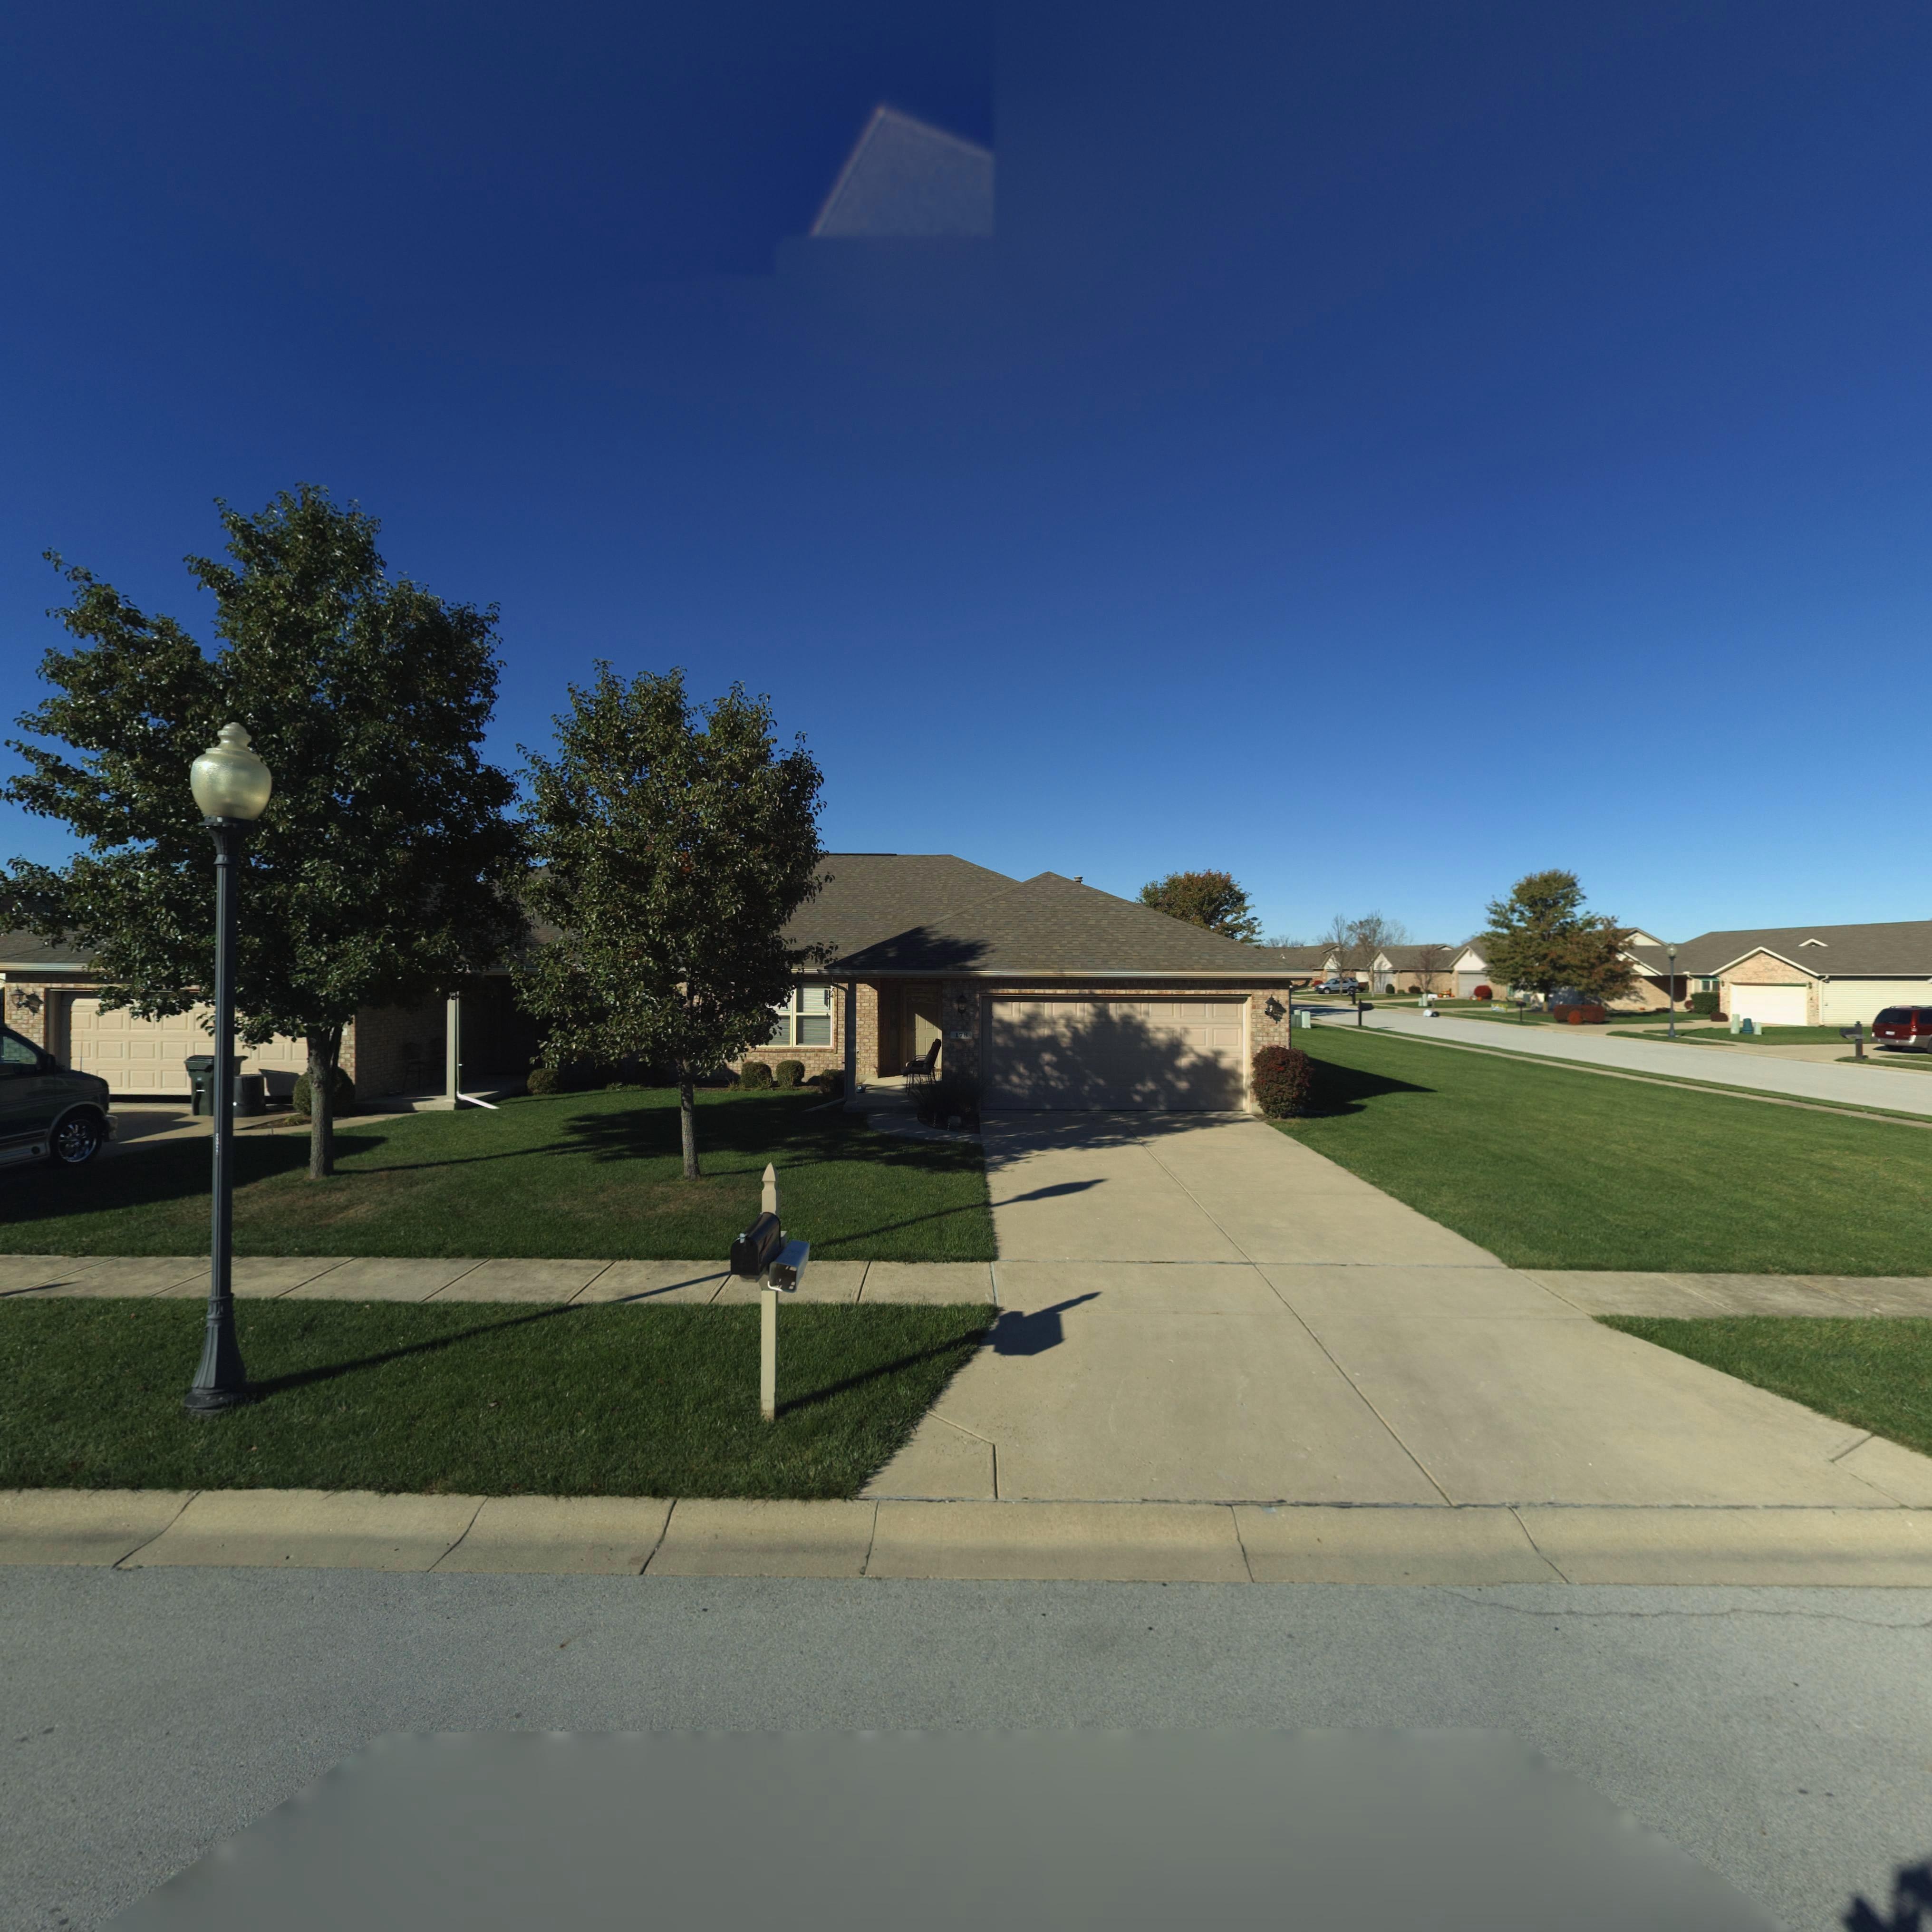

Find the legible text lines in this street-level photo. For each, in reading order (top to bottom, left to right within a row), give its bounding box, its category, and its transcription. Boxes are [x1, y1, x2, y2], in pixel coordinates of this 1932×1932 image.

[955, 1032, 968, 1038] StreetNumber: 178